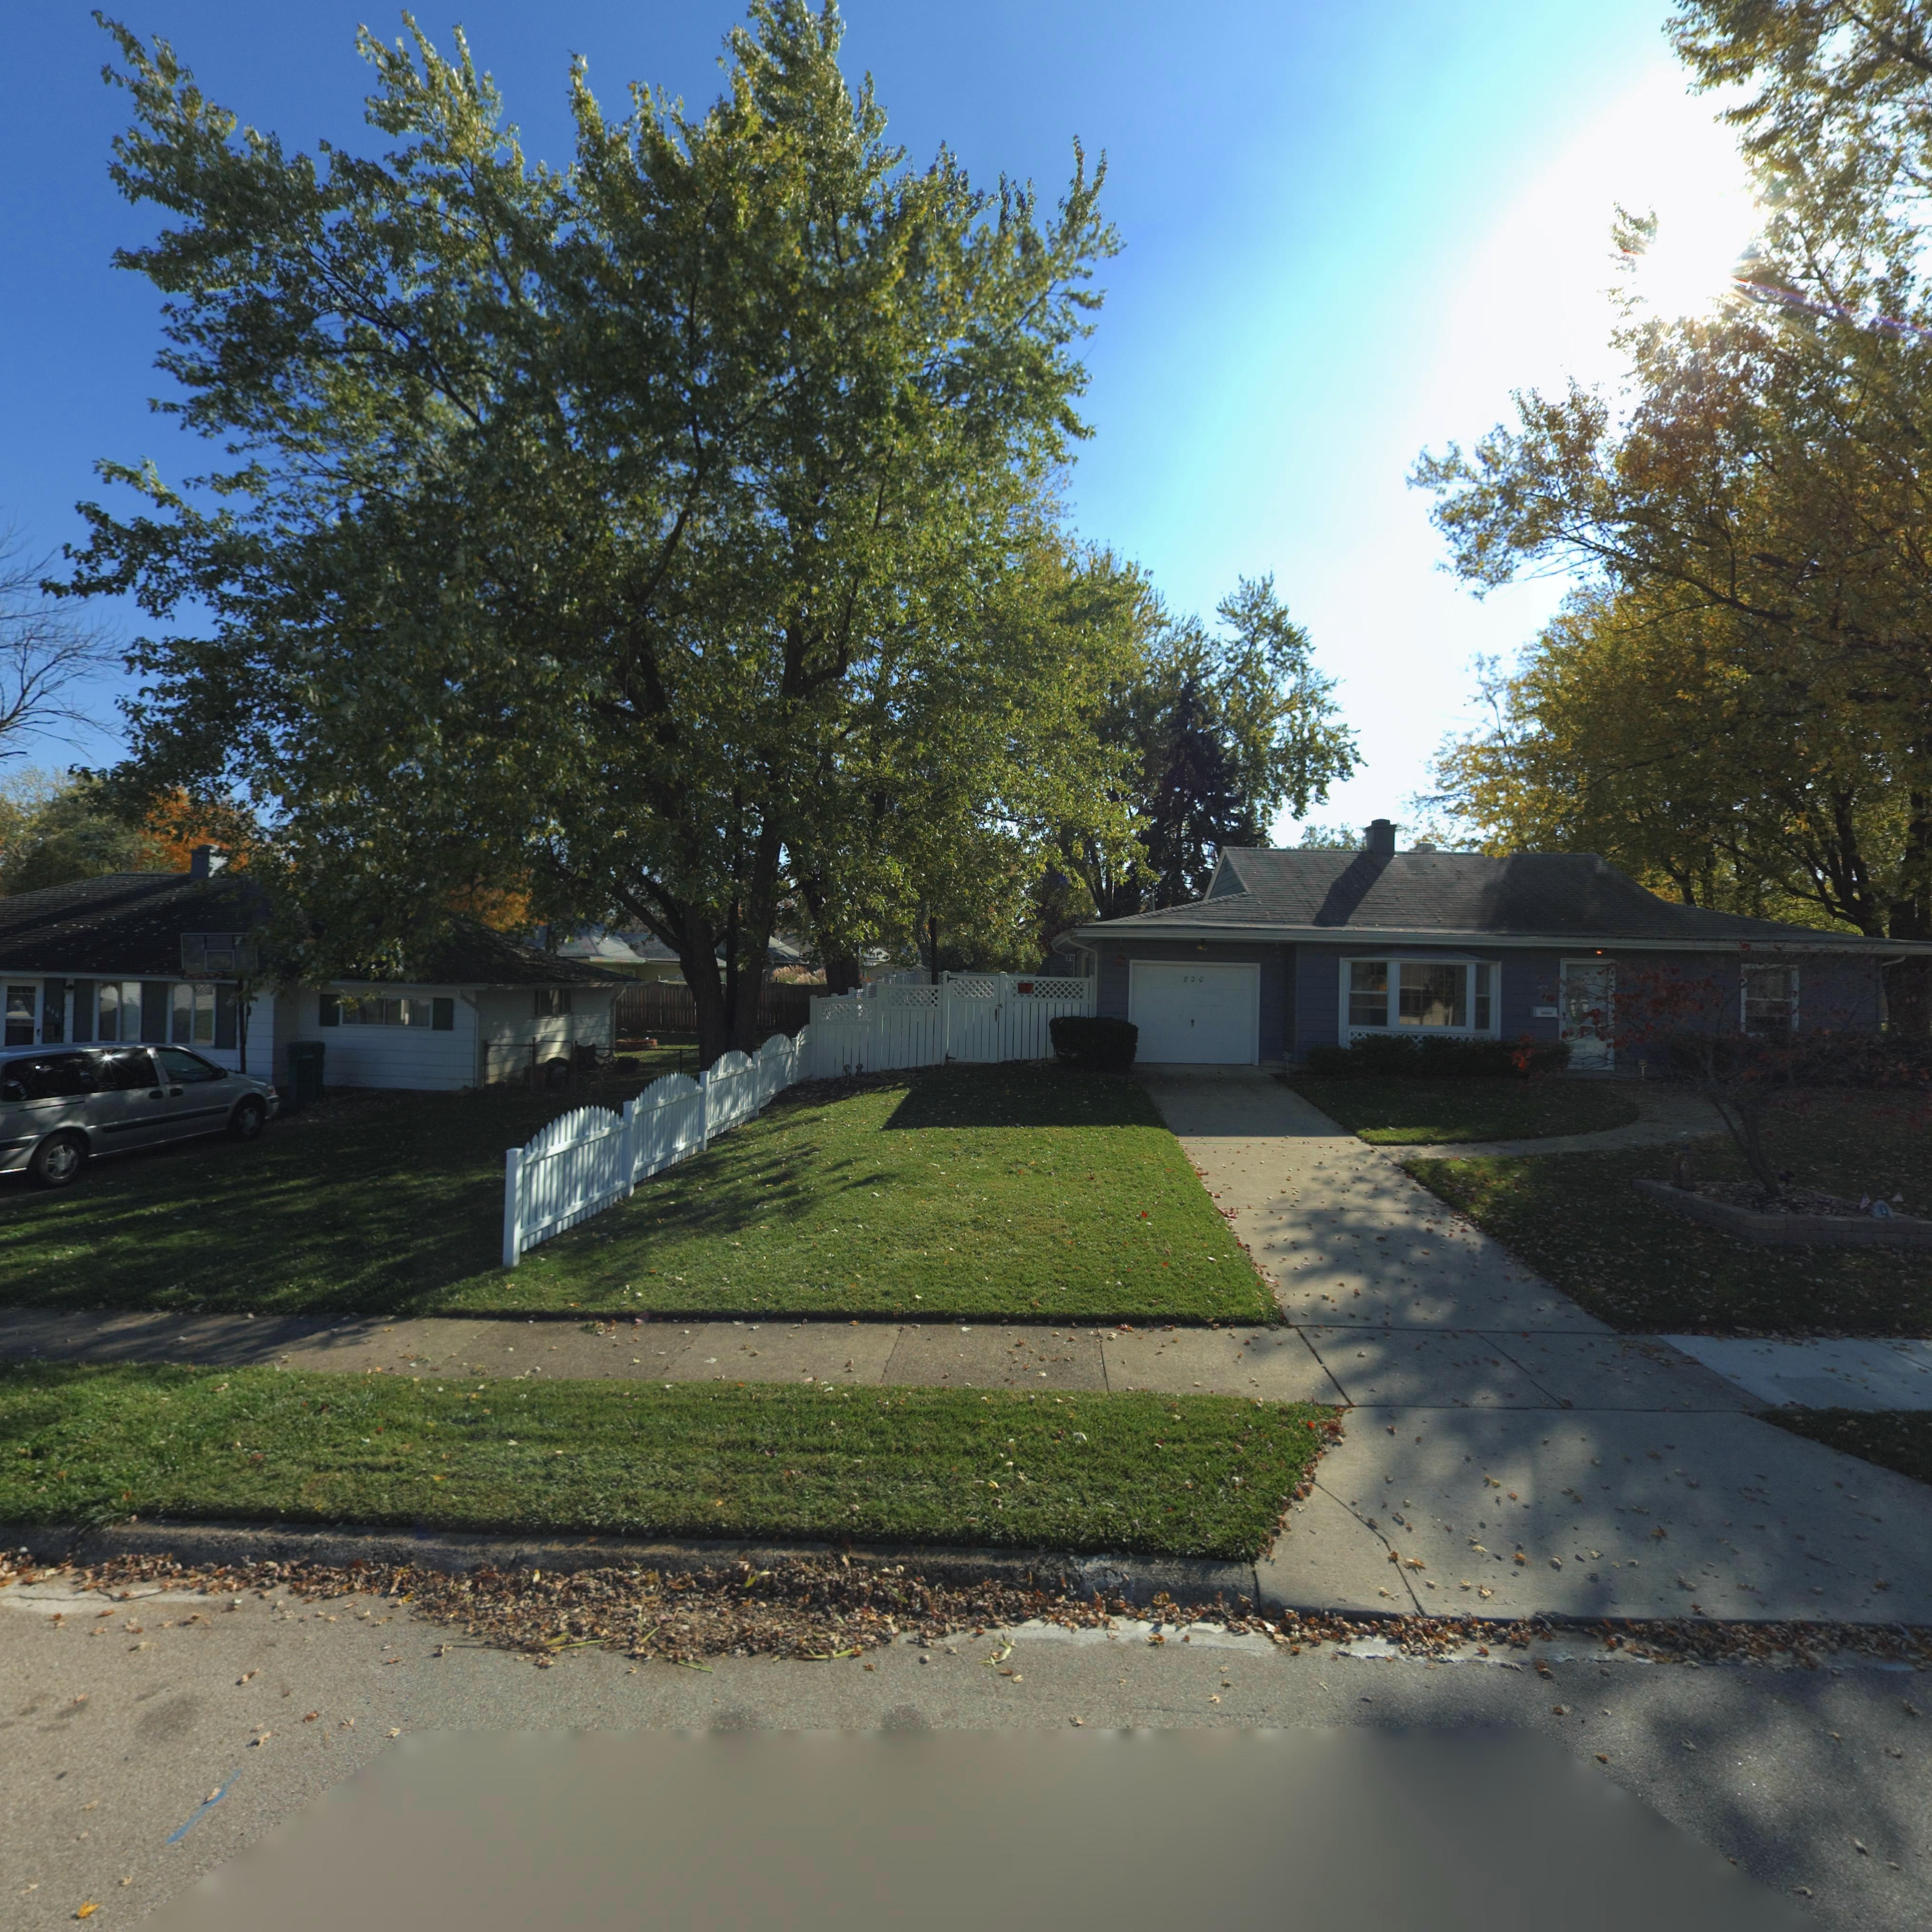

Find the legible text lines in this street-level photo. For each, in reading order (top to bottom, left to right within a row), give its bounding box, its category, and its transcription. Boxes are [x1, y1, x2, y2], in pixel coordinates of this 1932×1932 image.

[1183, 976, 1204, 982] StreetNumber: 820